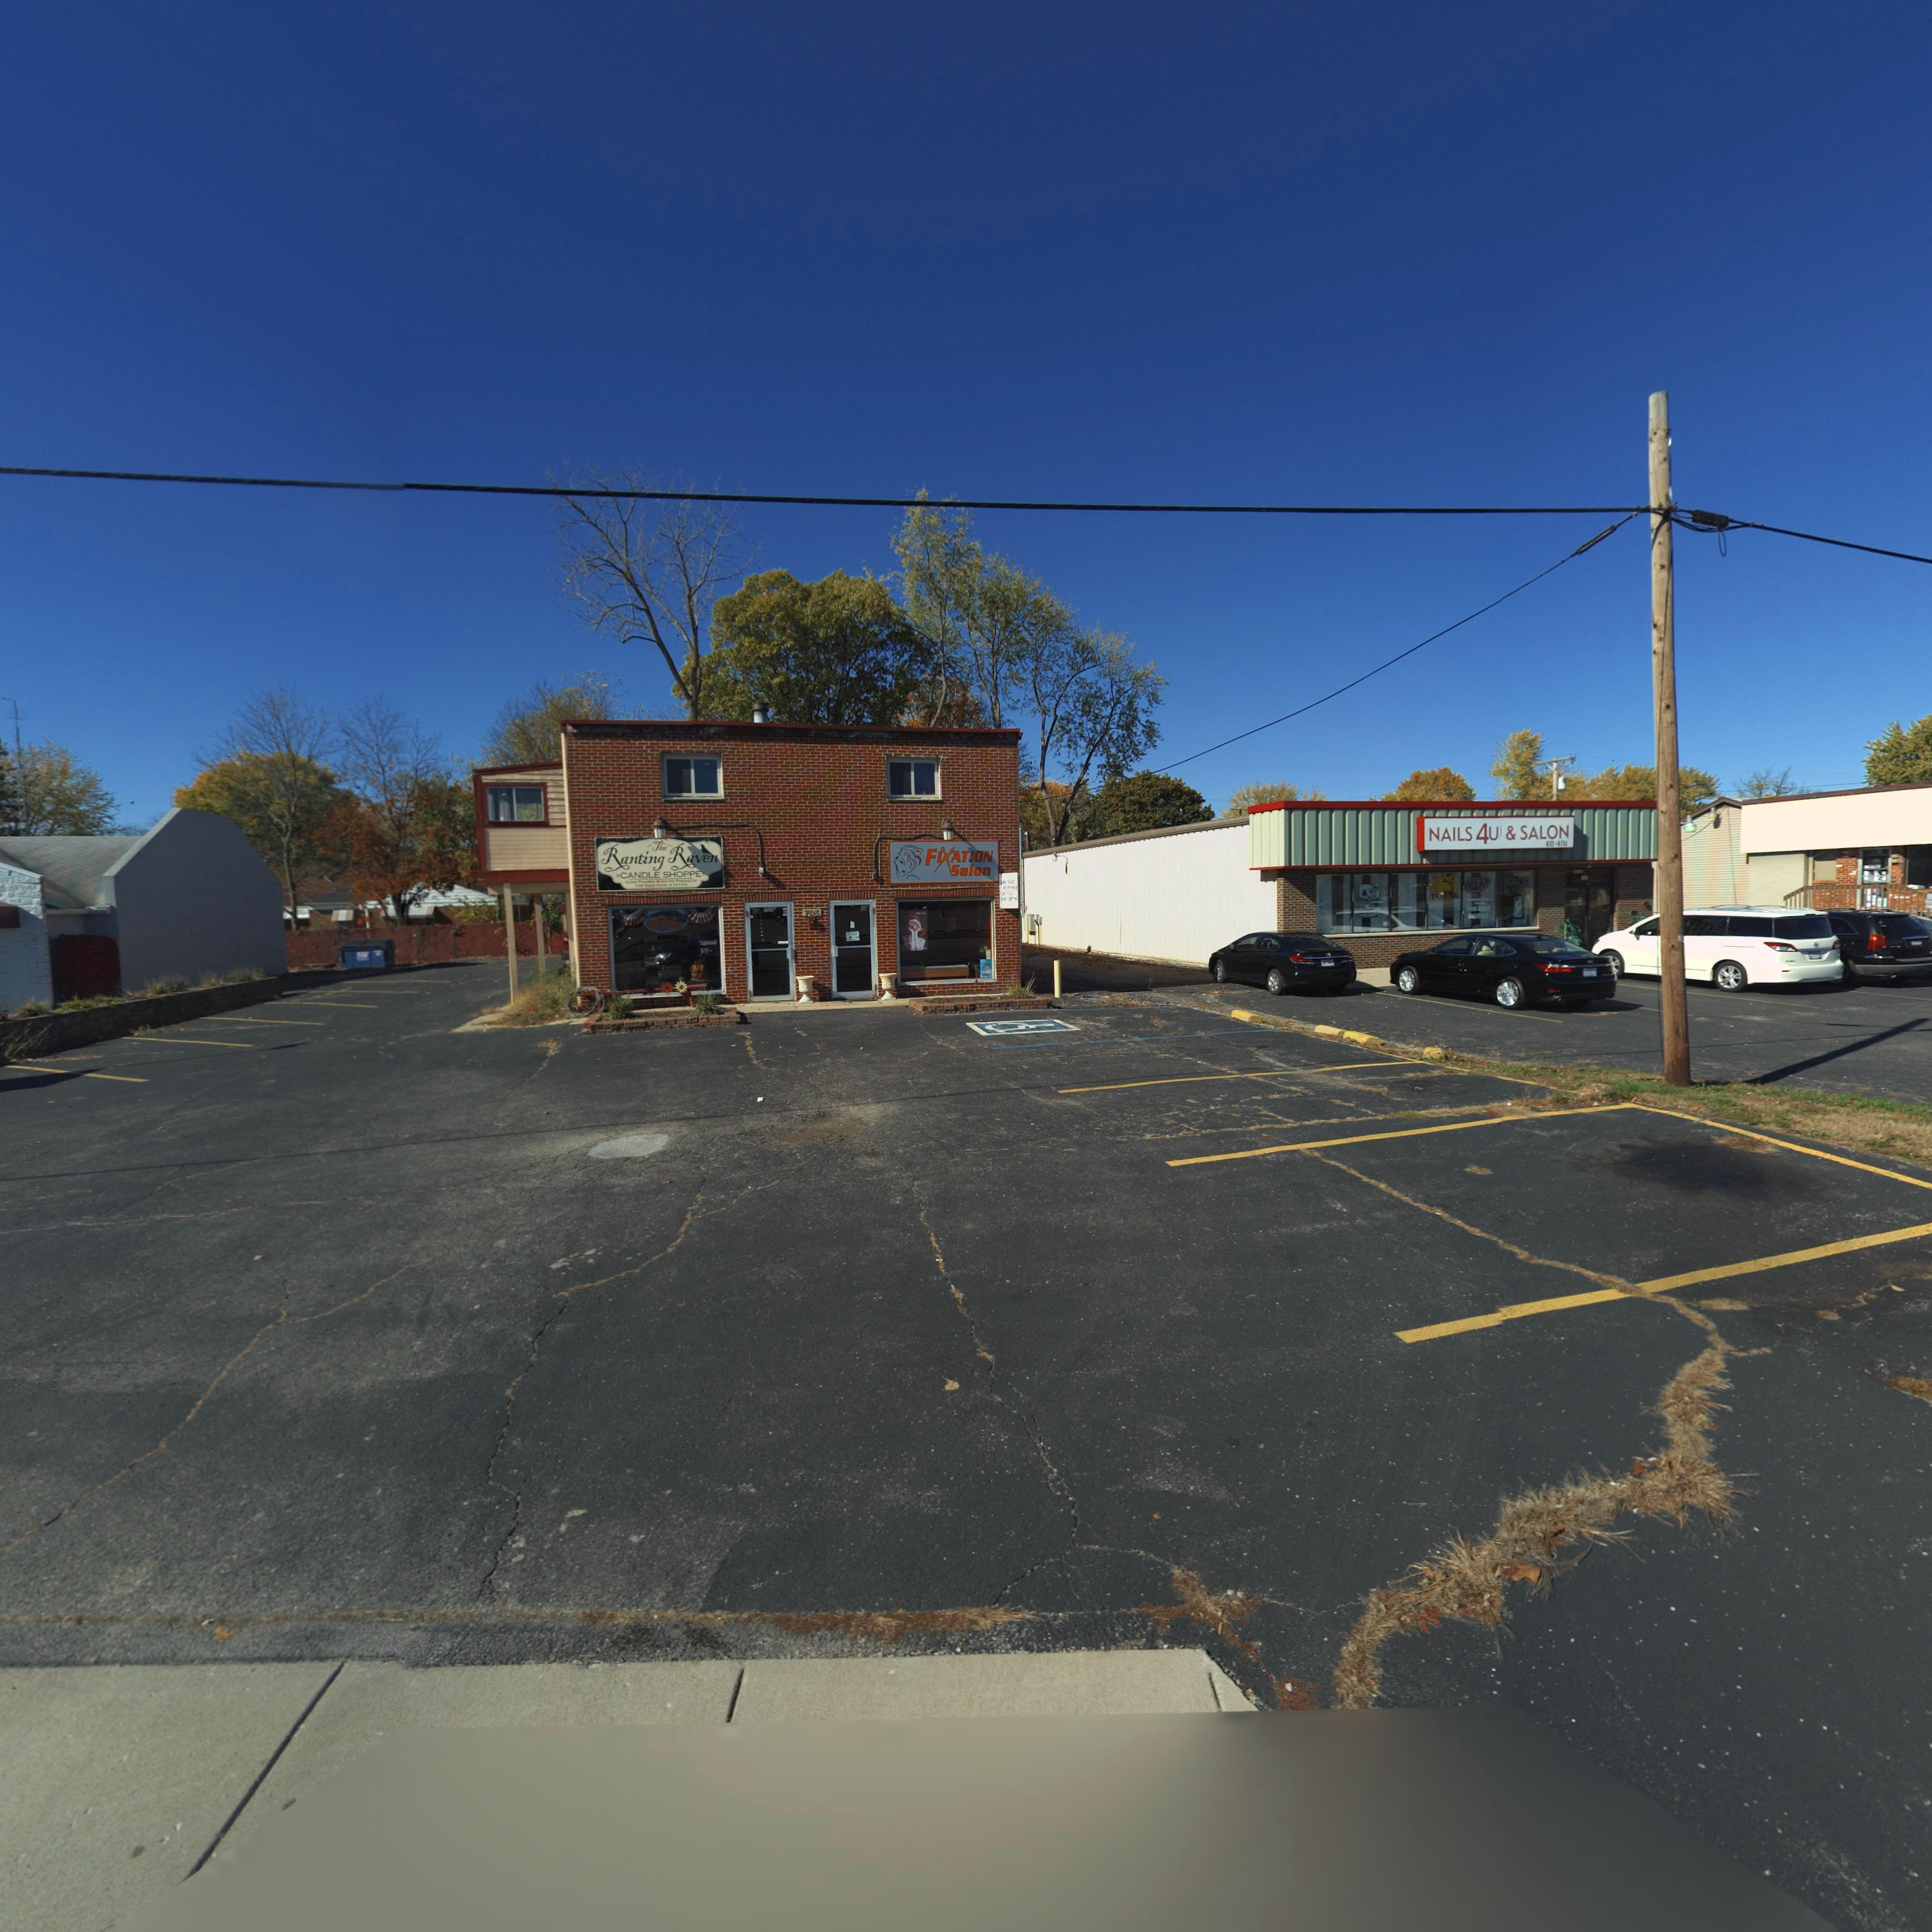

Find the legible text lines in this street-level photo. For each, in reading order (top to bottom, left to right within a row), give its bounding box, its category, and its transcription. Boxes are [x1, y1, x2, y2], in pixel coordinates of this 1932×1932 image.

[1429, 822, 1570, 844] BusinessName: NAILS 4U & SALON
[651, 840, 668, 852] BusinessName: The
[599, 845, 719, 871] BusinessName: Ranting Raven
[924, 848, 995, 867] BusinessName: FIXATION
[618, 870, 703, 879] BusinessName: CANDLE SHOPPE
[949, 863, 992, 877] BusinessName: Salon
[763, 907, 774, 912] StreetNumber: 705
[803, 909, 821, 917] StreetNumber: 705